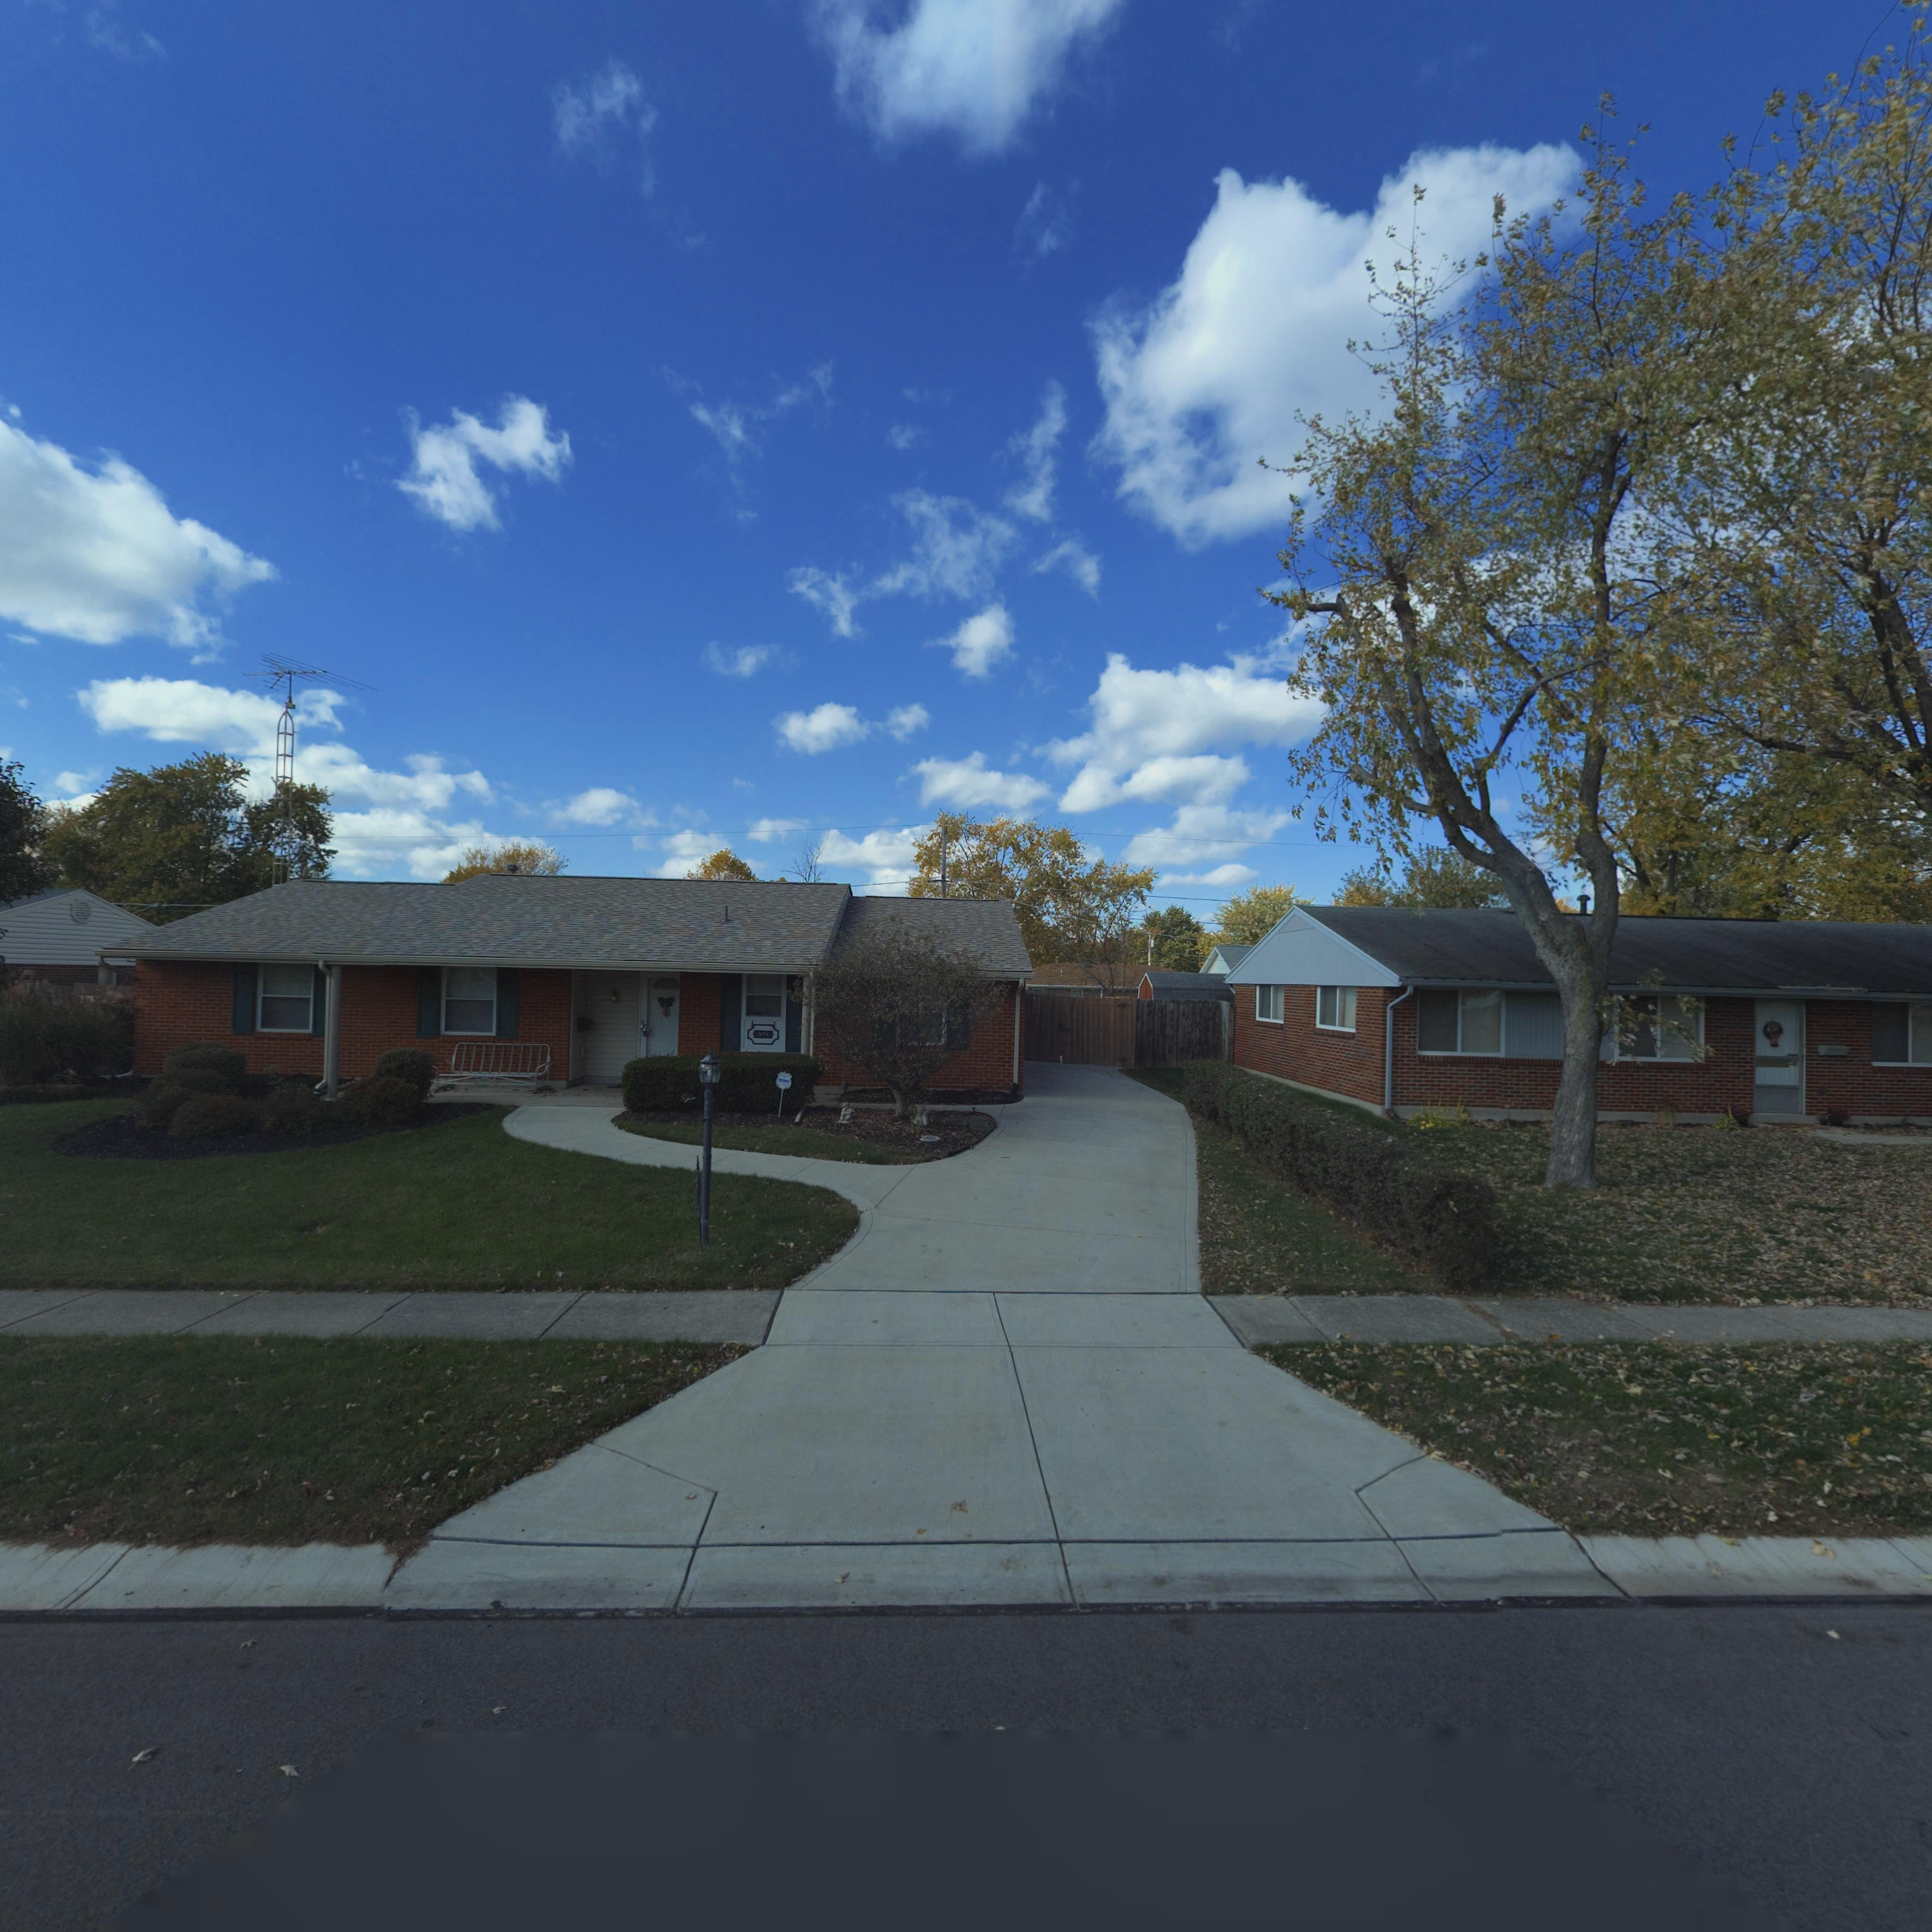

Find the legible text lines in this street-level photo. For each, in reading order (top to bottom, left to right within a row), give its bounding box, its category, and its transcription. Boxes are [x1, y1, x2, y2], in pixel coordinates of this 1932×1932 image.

[757, 1032, 769, 1037] StreetNumber: 7672